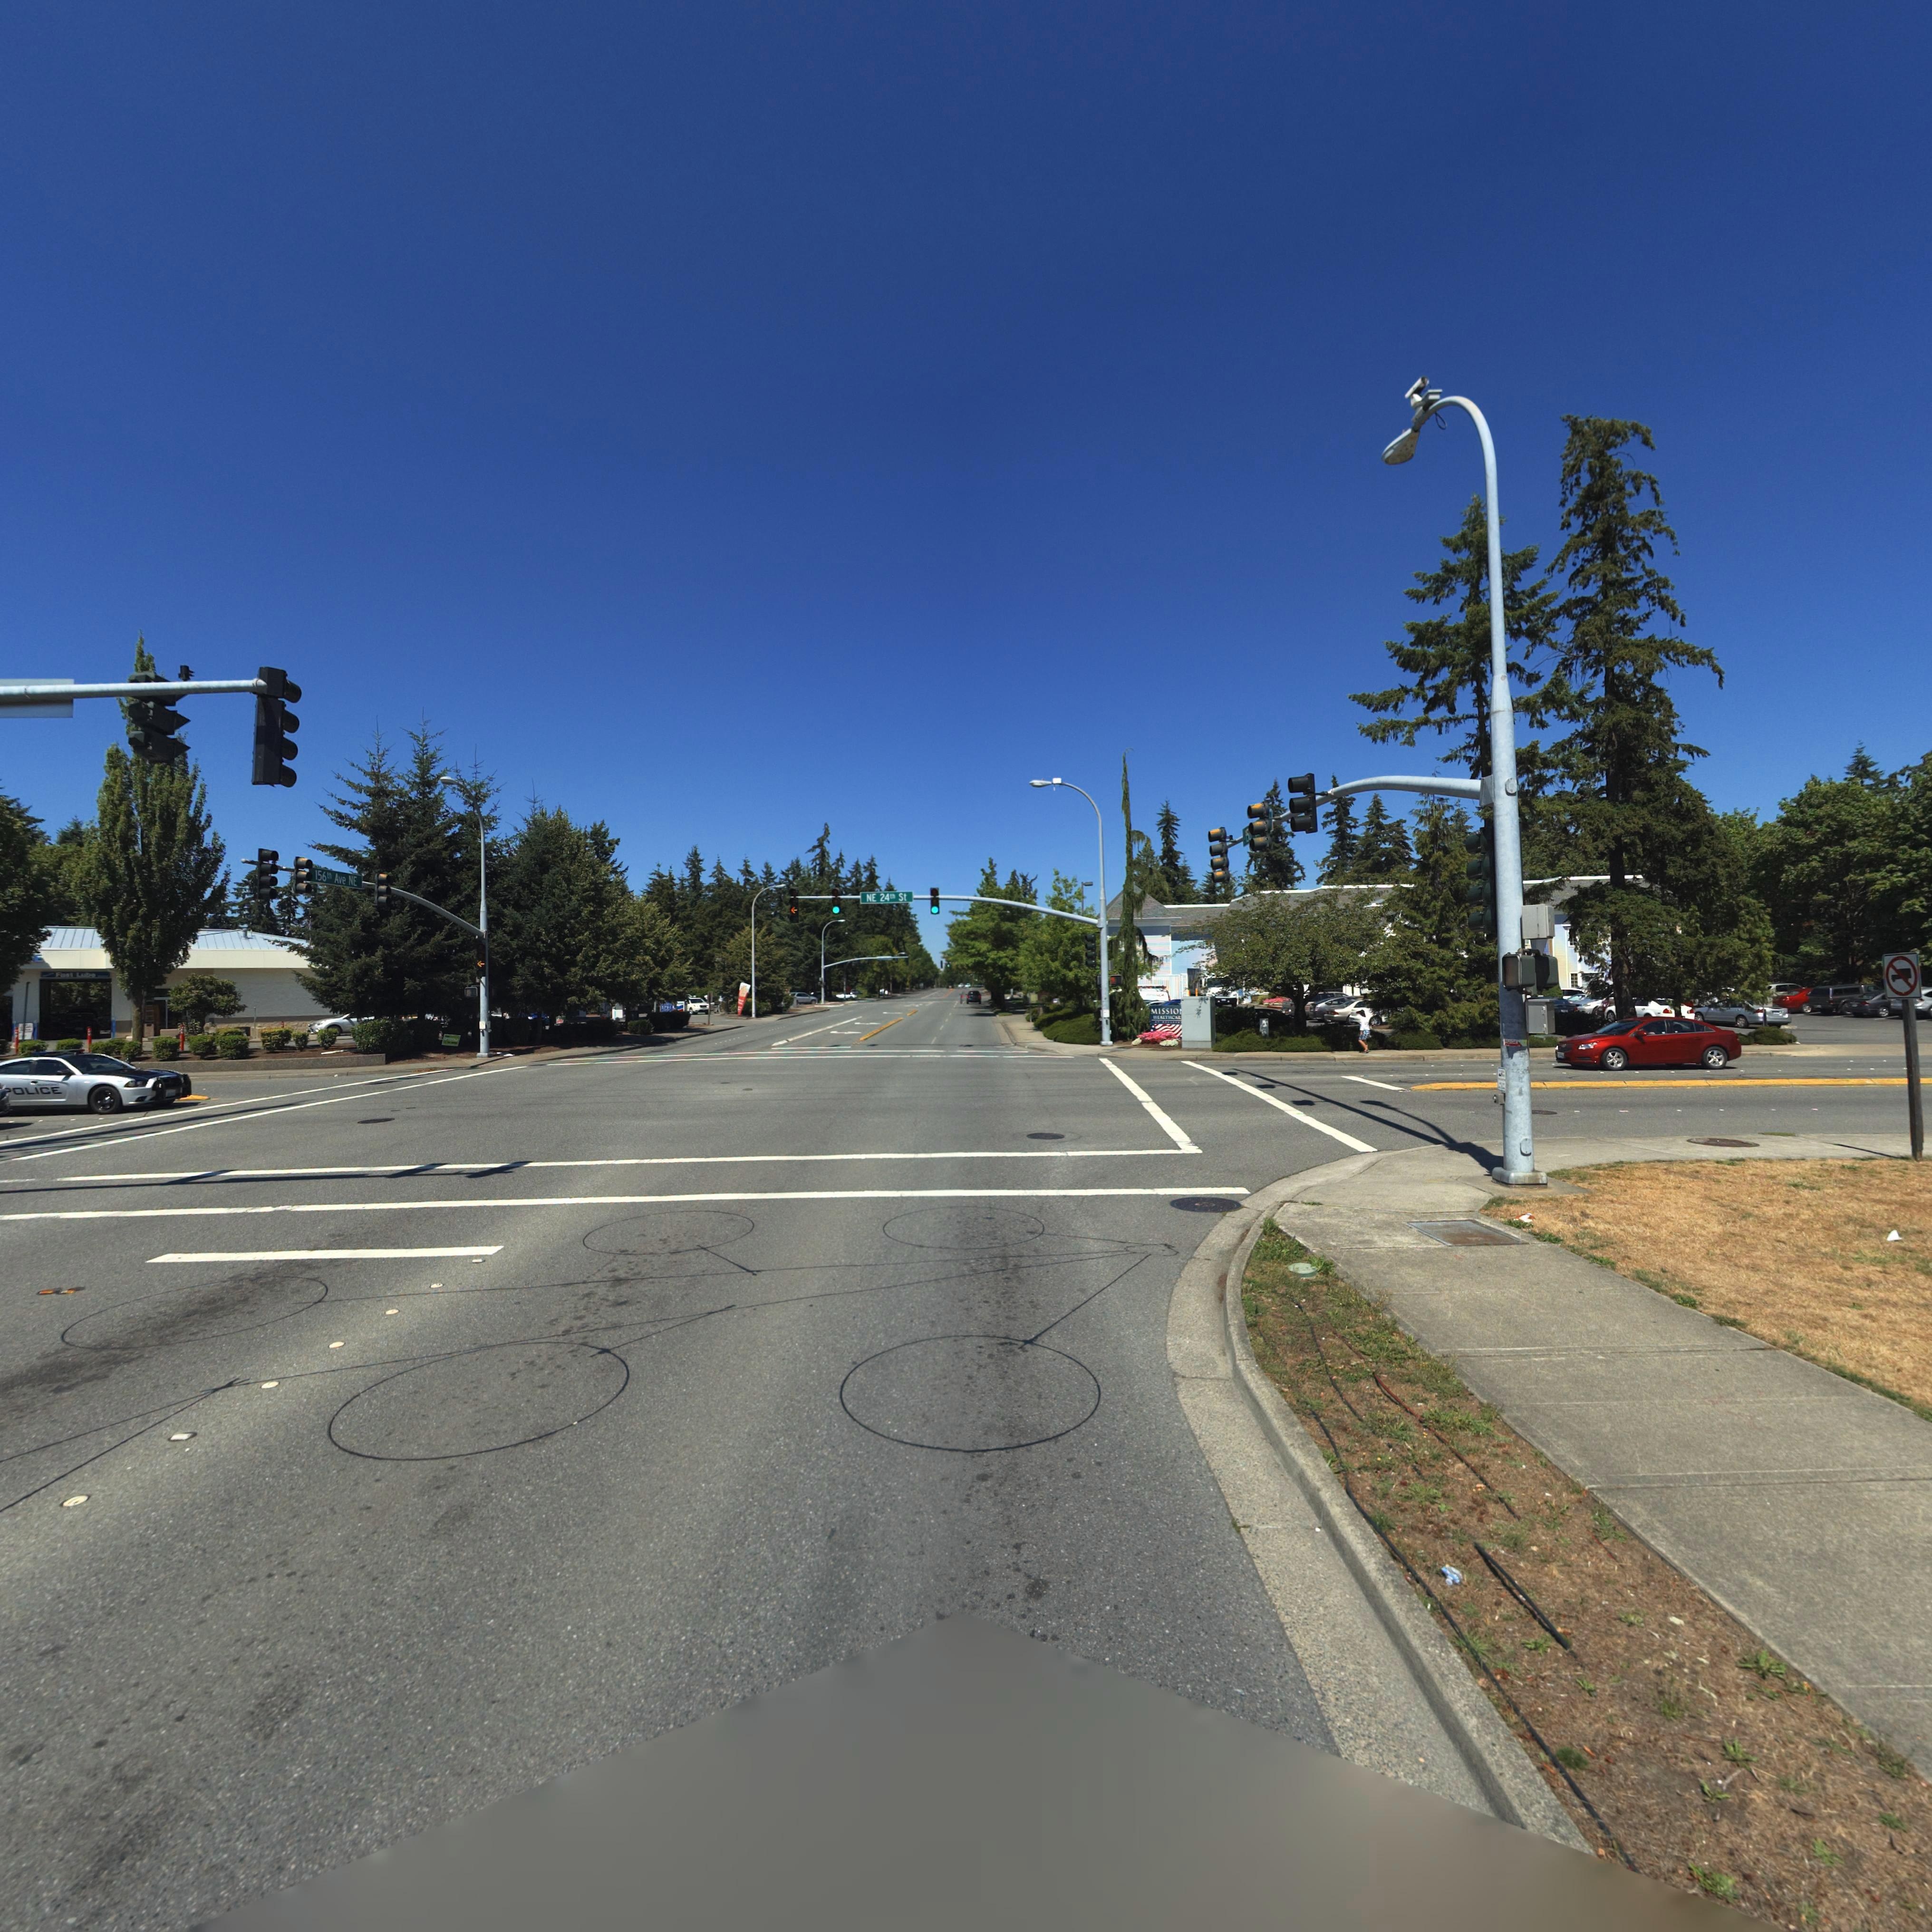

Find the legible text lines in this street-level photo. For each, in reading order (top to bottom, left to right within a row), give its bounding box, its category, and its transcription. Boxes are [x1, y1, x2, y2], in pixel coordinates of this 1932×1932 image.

[315, 869, 357, 886] StreetName: 156** Ave NE
[866, 892, 907, 902] StreetName: NE 24** St
[1150, 1008, 1181, 1014] BusinessName: MISSIO*
[1153, 1015, 1181, 1019] BusinessName: HEA**HCAR